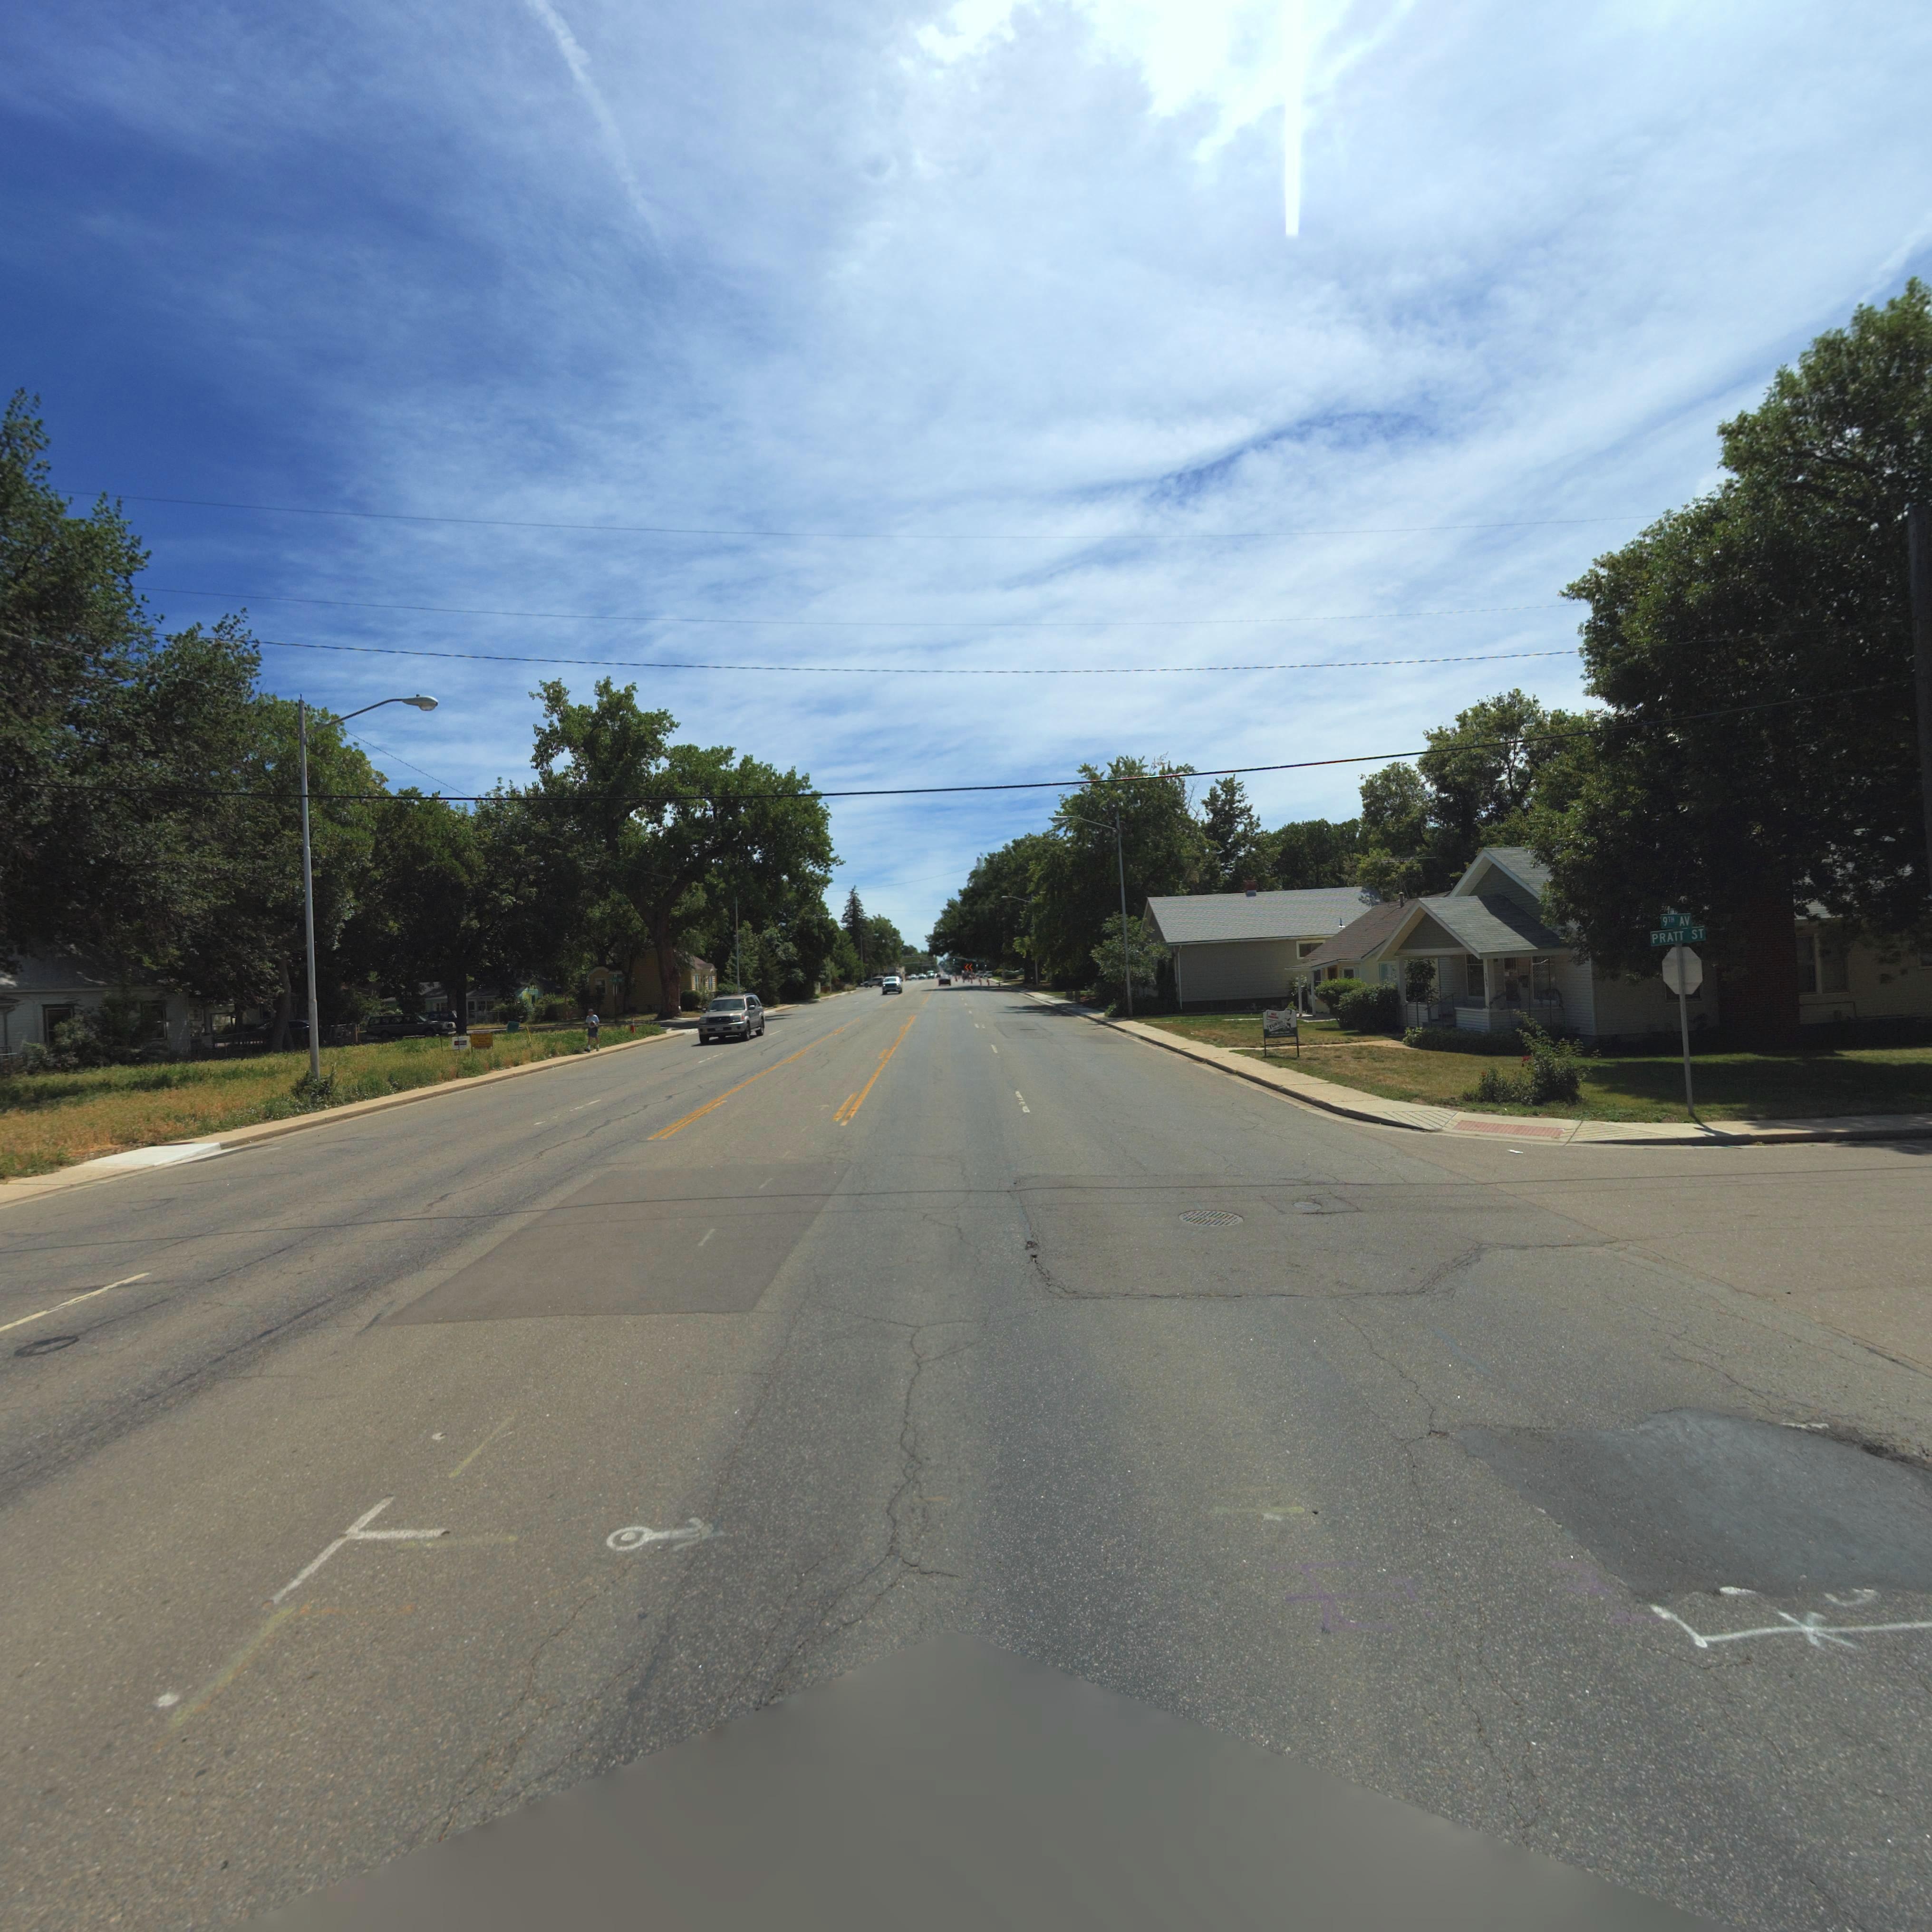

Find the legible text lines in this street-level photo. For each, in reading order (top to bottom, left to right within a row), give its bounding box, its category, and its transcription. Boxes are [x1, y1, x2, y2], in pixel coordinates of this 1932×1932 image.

[1662, 915, 1691, 927] StreetName: 9TH AV
[1651, 927, 1705, 945] StreetName: PRATT ST
[608, 978, 623, 982] StreetName: ***** S*
[1484, 973, 1488, 989] StreetNumber: 765